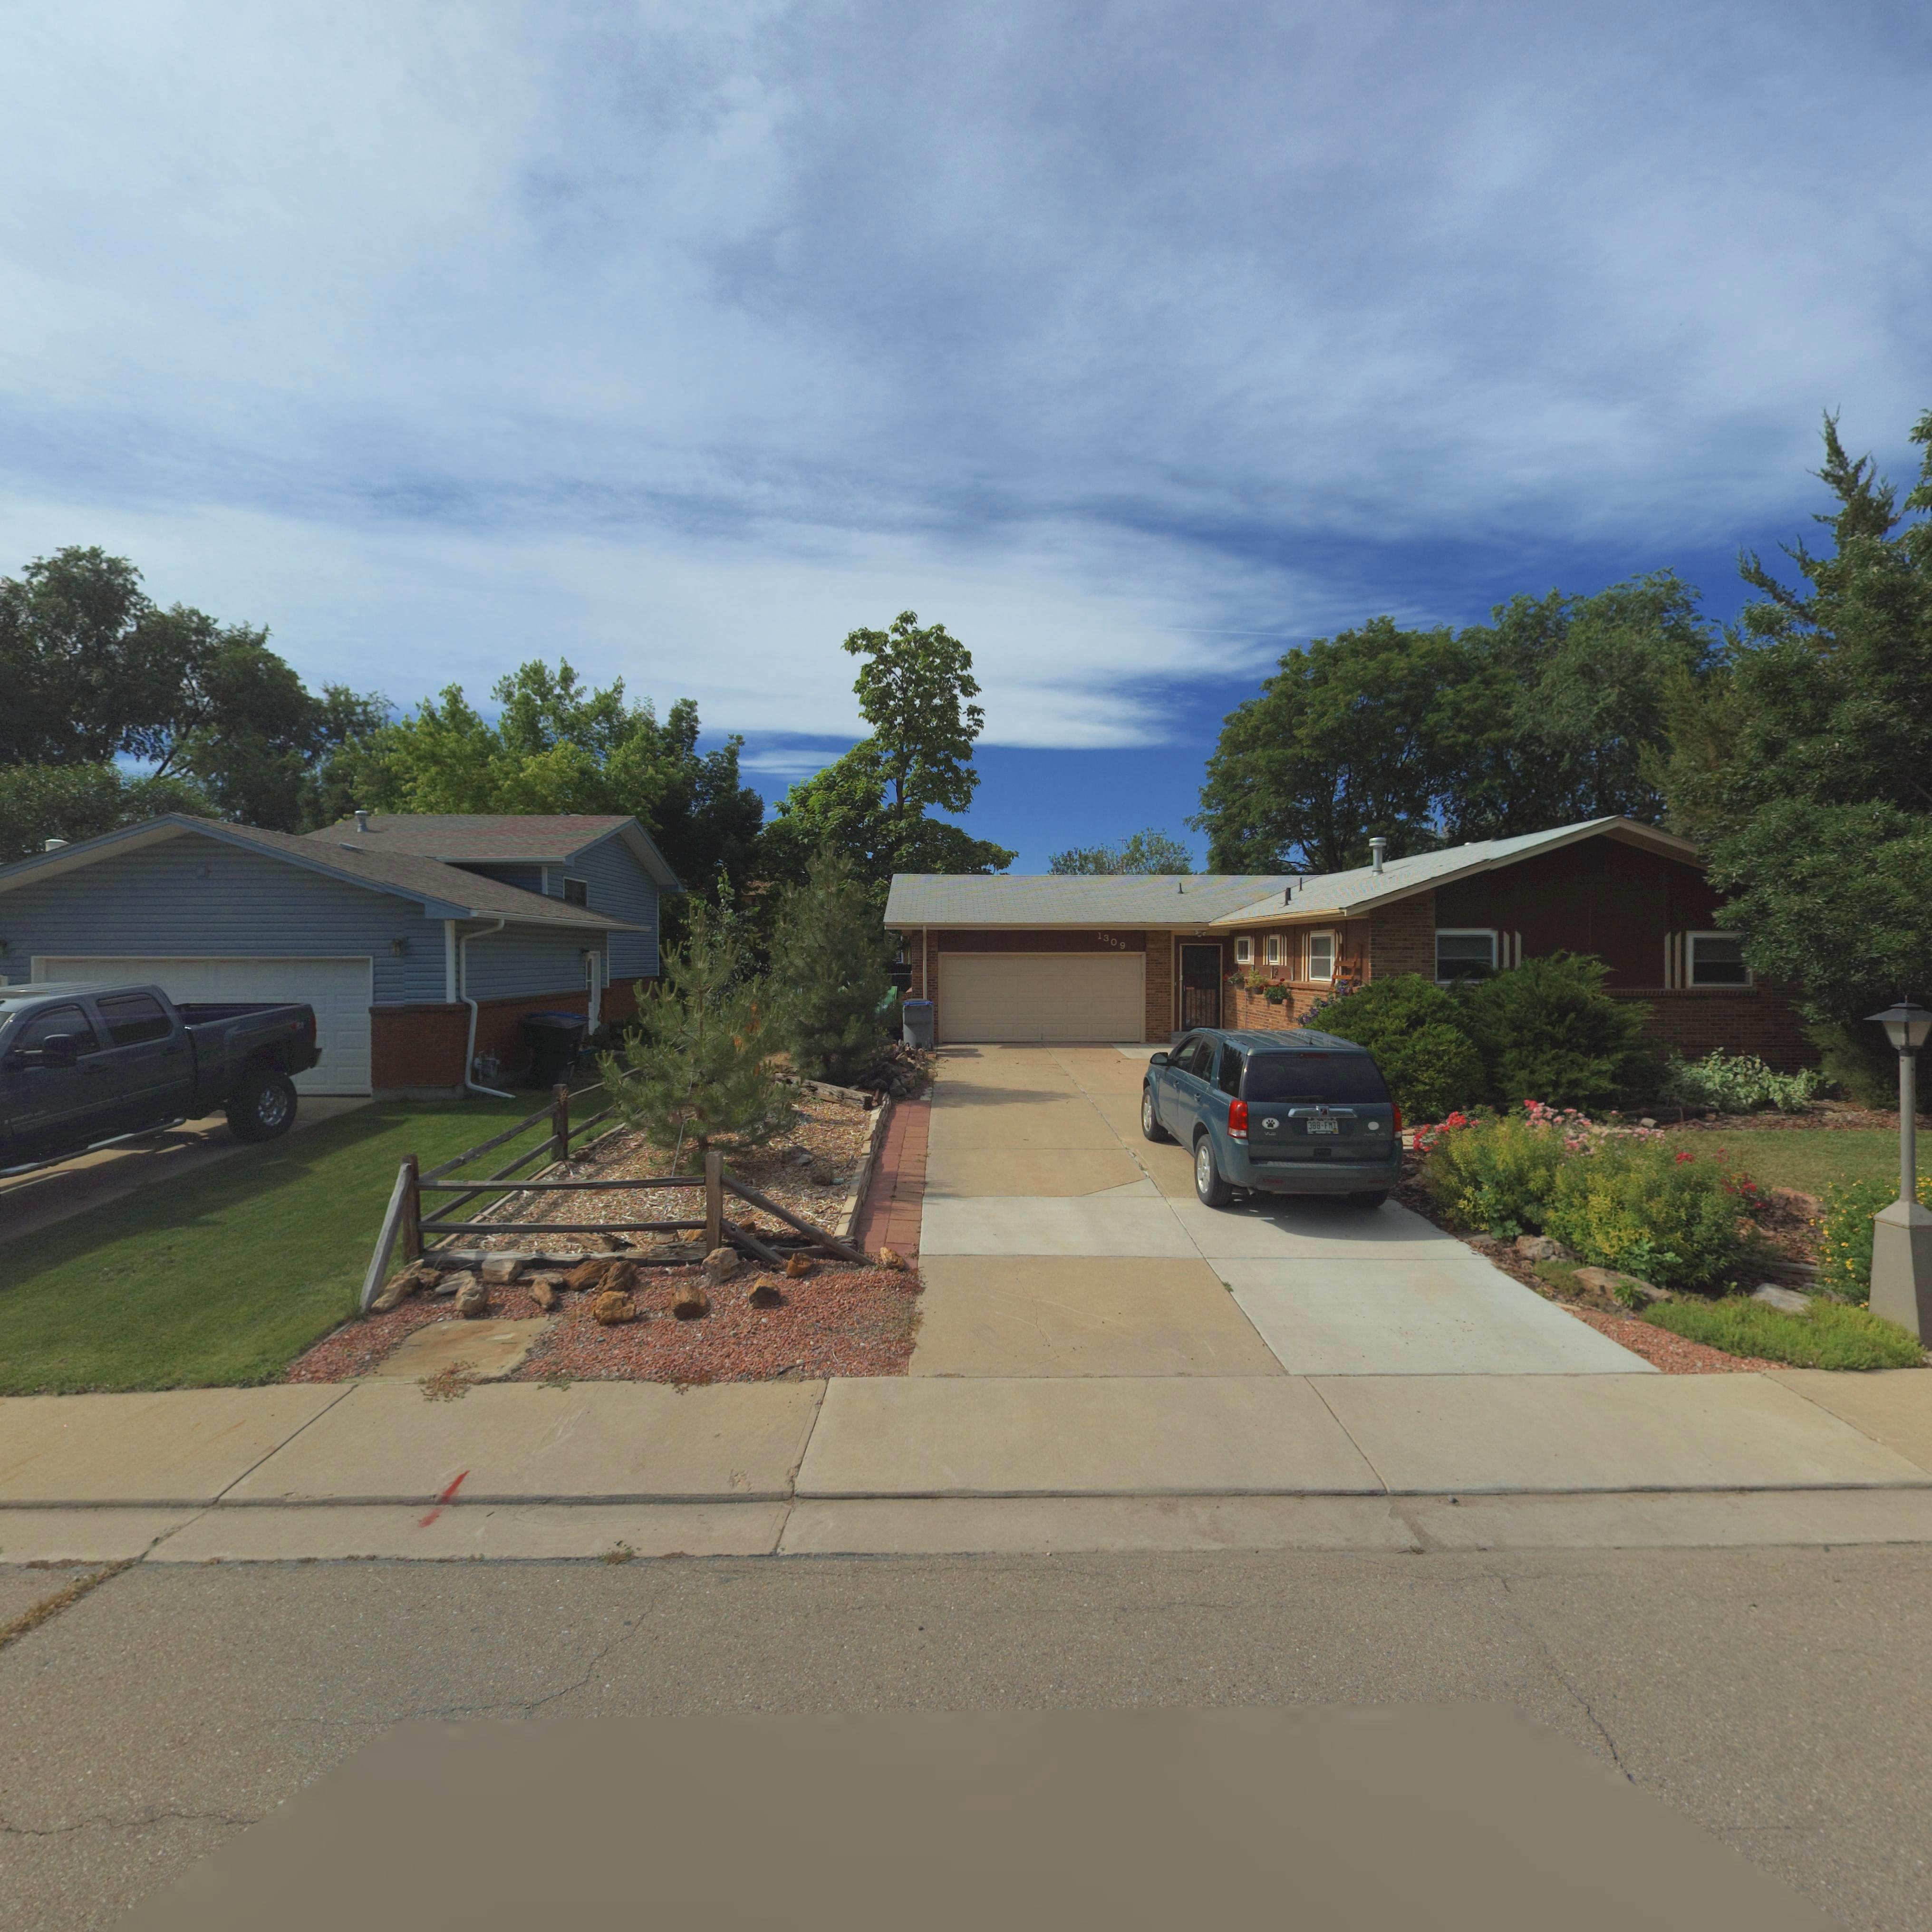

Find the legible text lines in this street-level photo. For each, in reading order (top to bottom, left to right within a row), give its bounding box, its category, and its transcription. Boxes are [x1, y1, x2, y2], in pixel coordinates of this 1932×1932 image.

[1097, 931, 1125, 949] StreetNumber: 1309